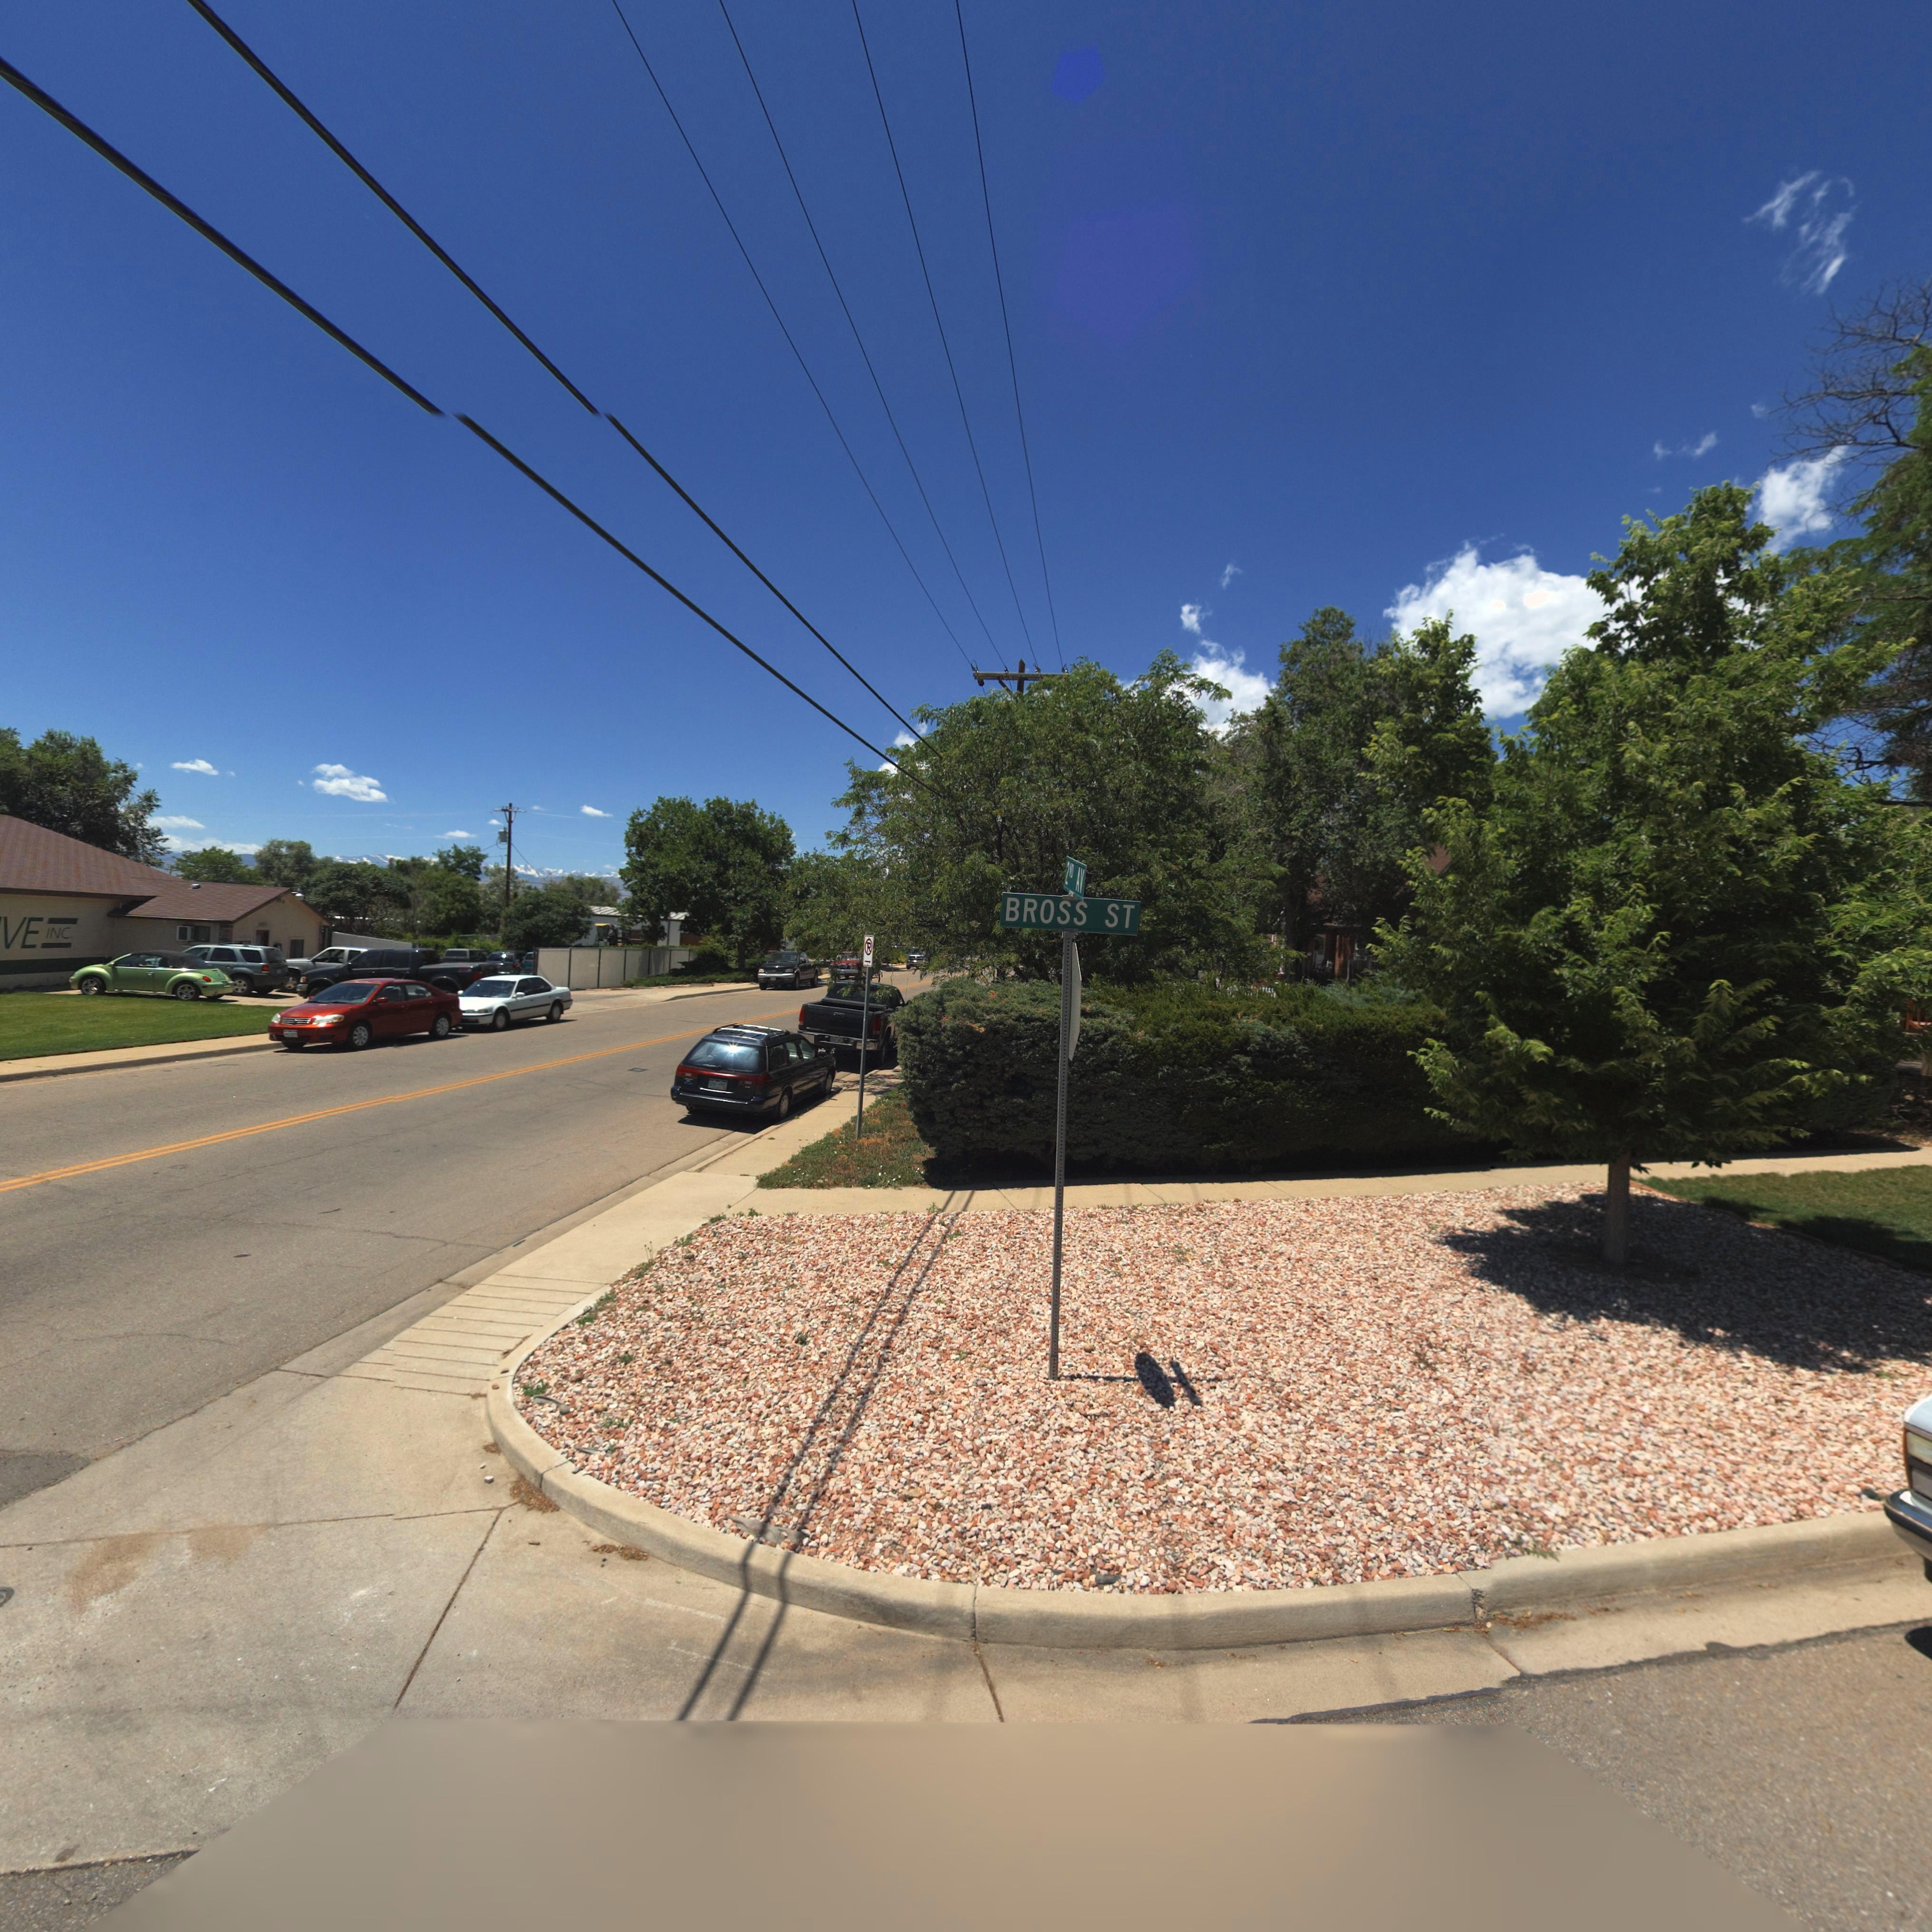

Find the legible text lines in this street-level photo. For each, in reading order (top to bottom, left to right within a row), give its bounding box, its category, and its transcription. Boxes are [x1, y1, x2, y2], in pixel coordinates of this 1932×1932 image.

[1064, 860, 1085, 894] StreetName: 2ND AV
[1005, 897, 1134, 928] StreetName: BROSS ST
[3, 916, 43, 948] BusinessName: VE
[46, 927, 70, 939] BusinessName: INC